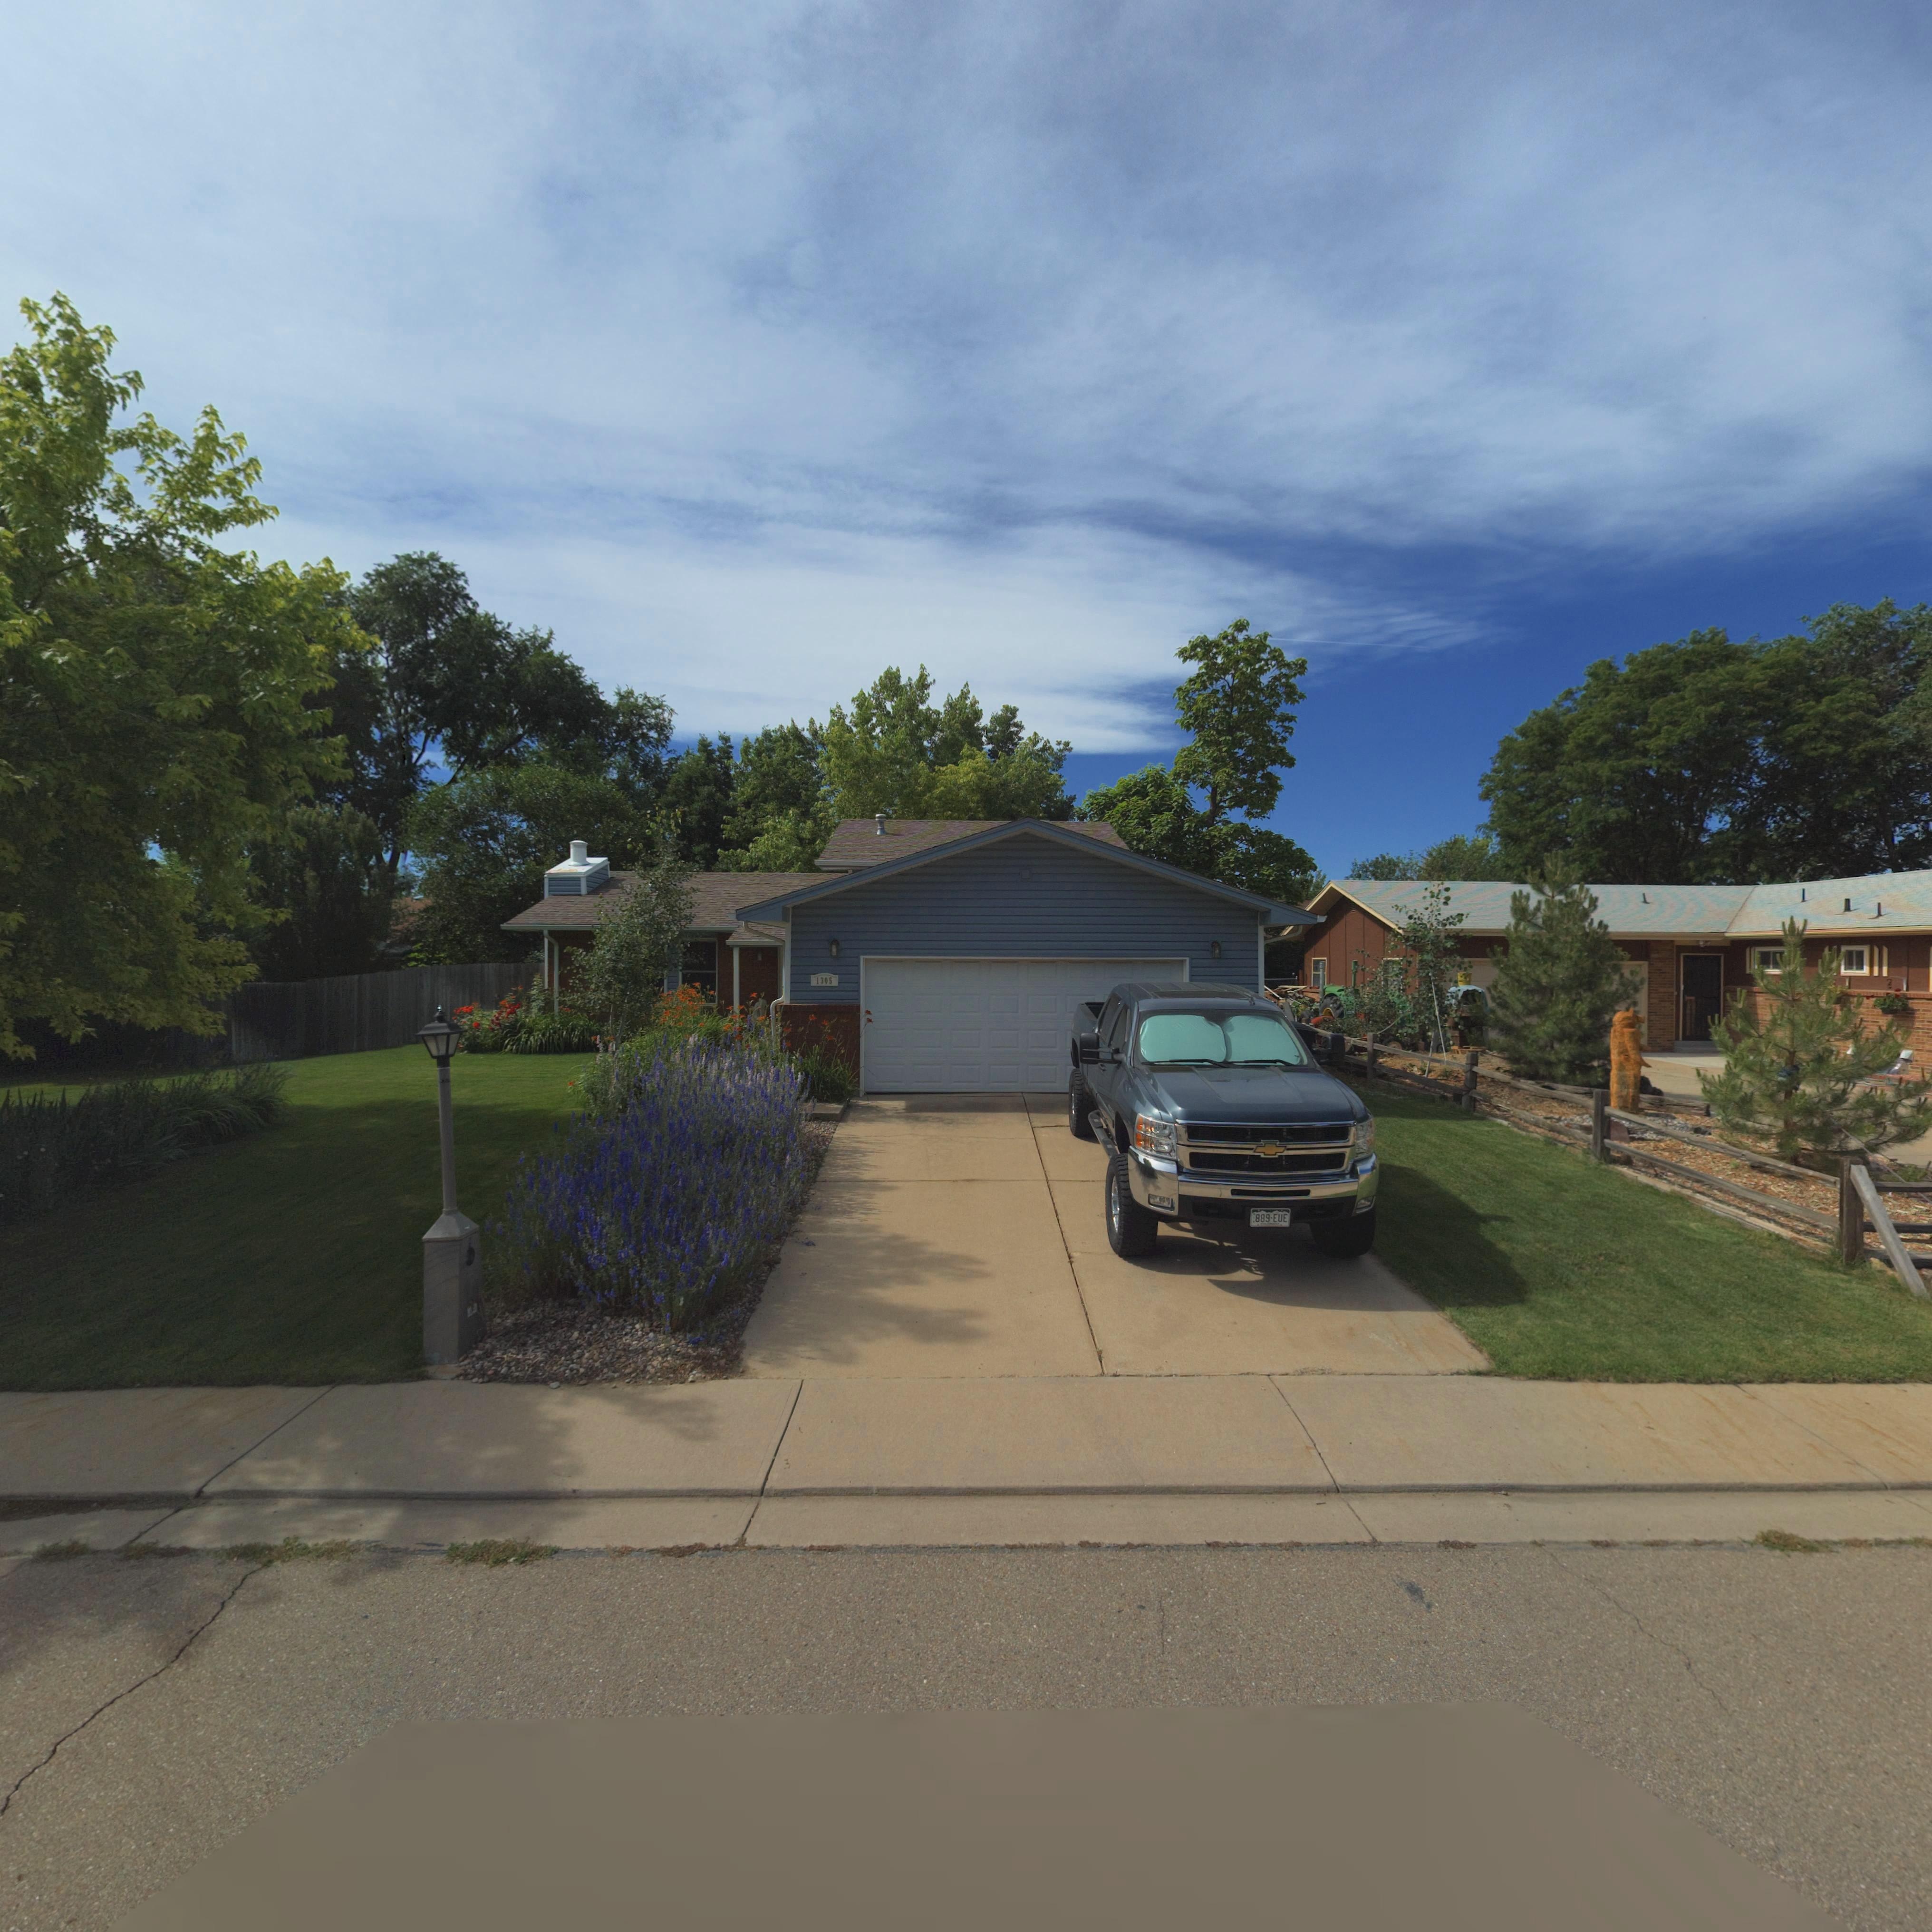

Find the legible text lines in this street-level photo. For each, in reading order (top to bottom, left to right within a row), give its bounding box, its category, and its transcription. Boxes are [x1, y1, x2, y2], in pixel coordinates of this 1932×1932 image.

[816, 976, 832, 985] StreetNumber: 1305